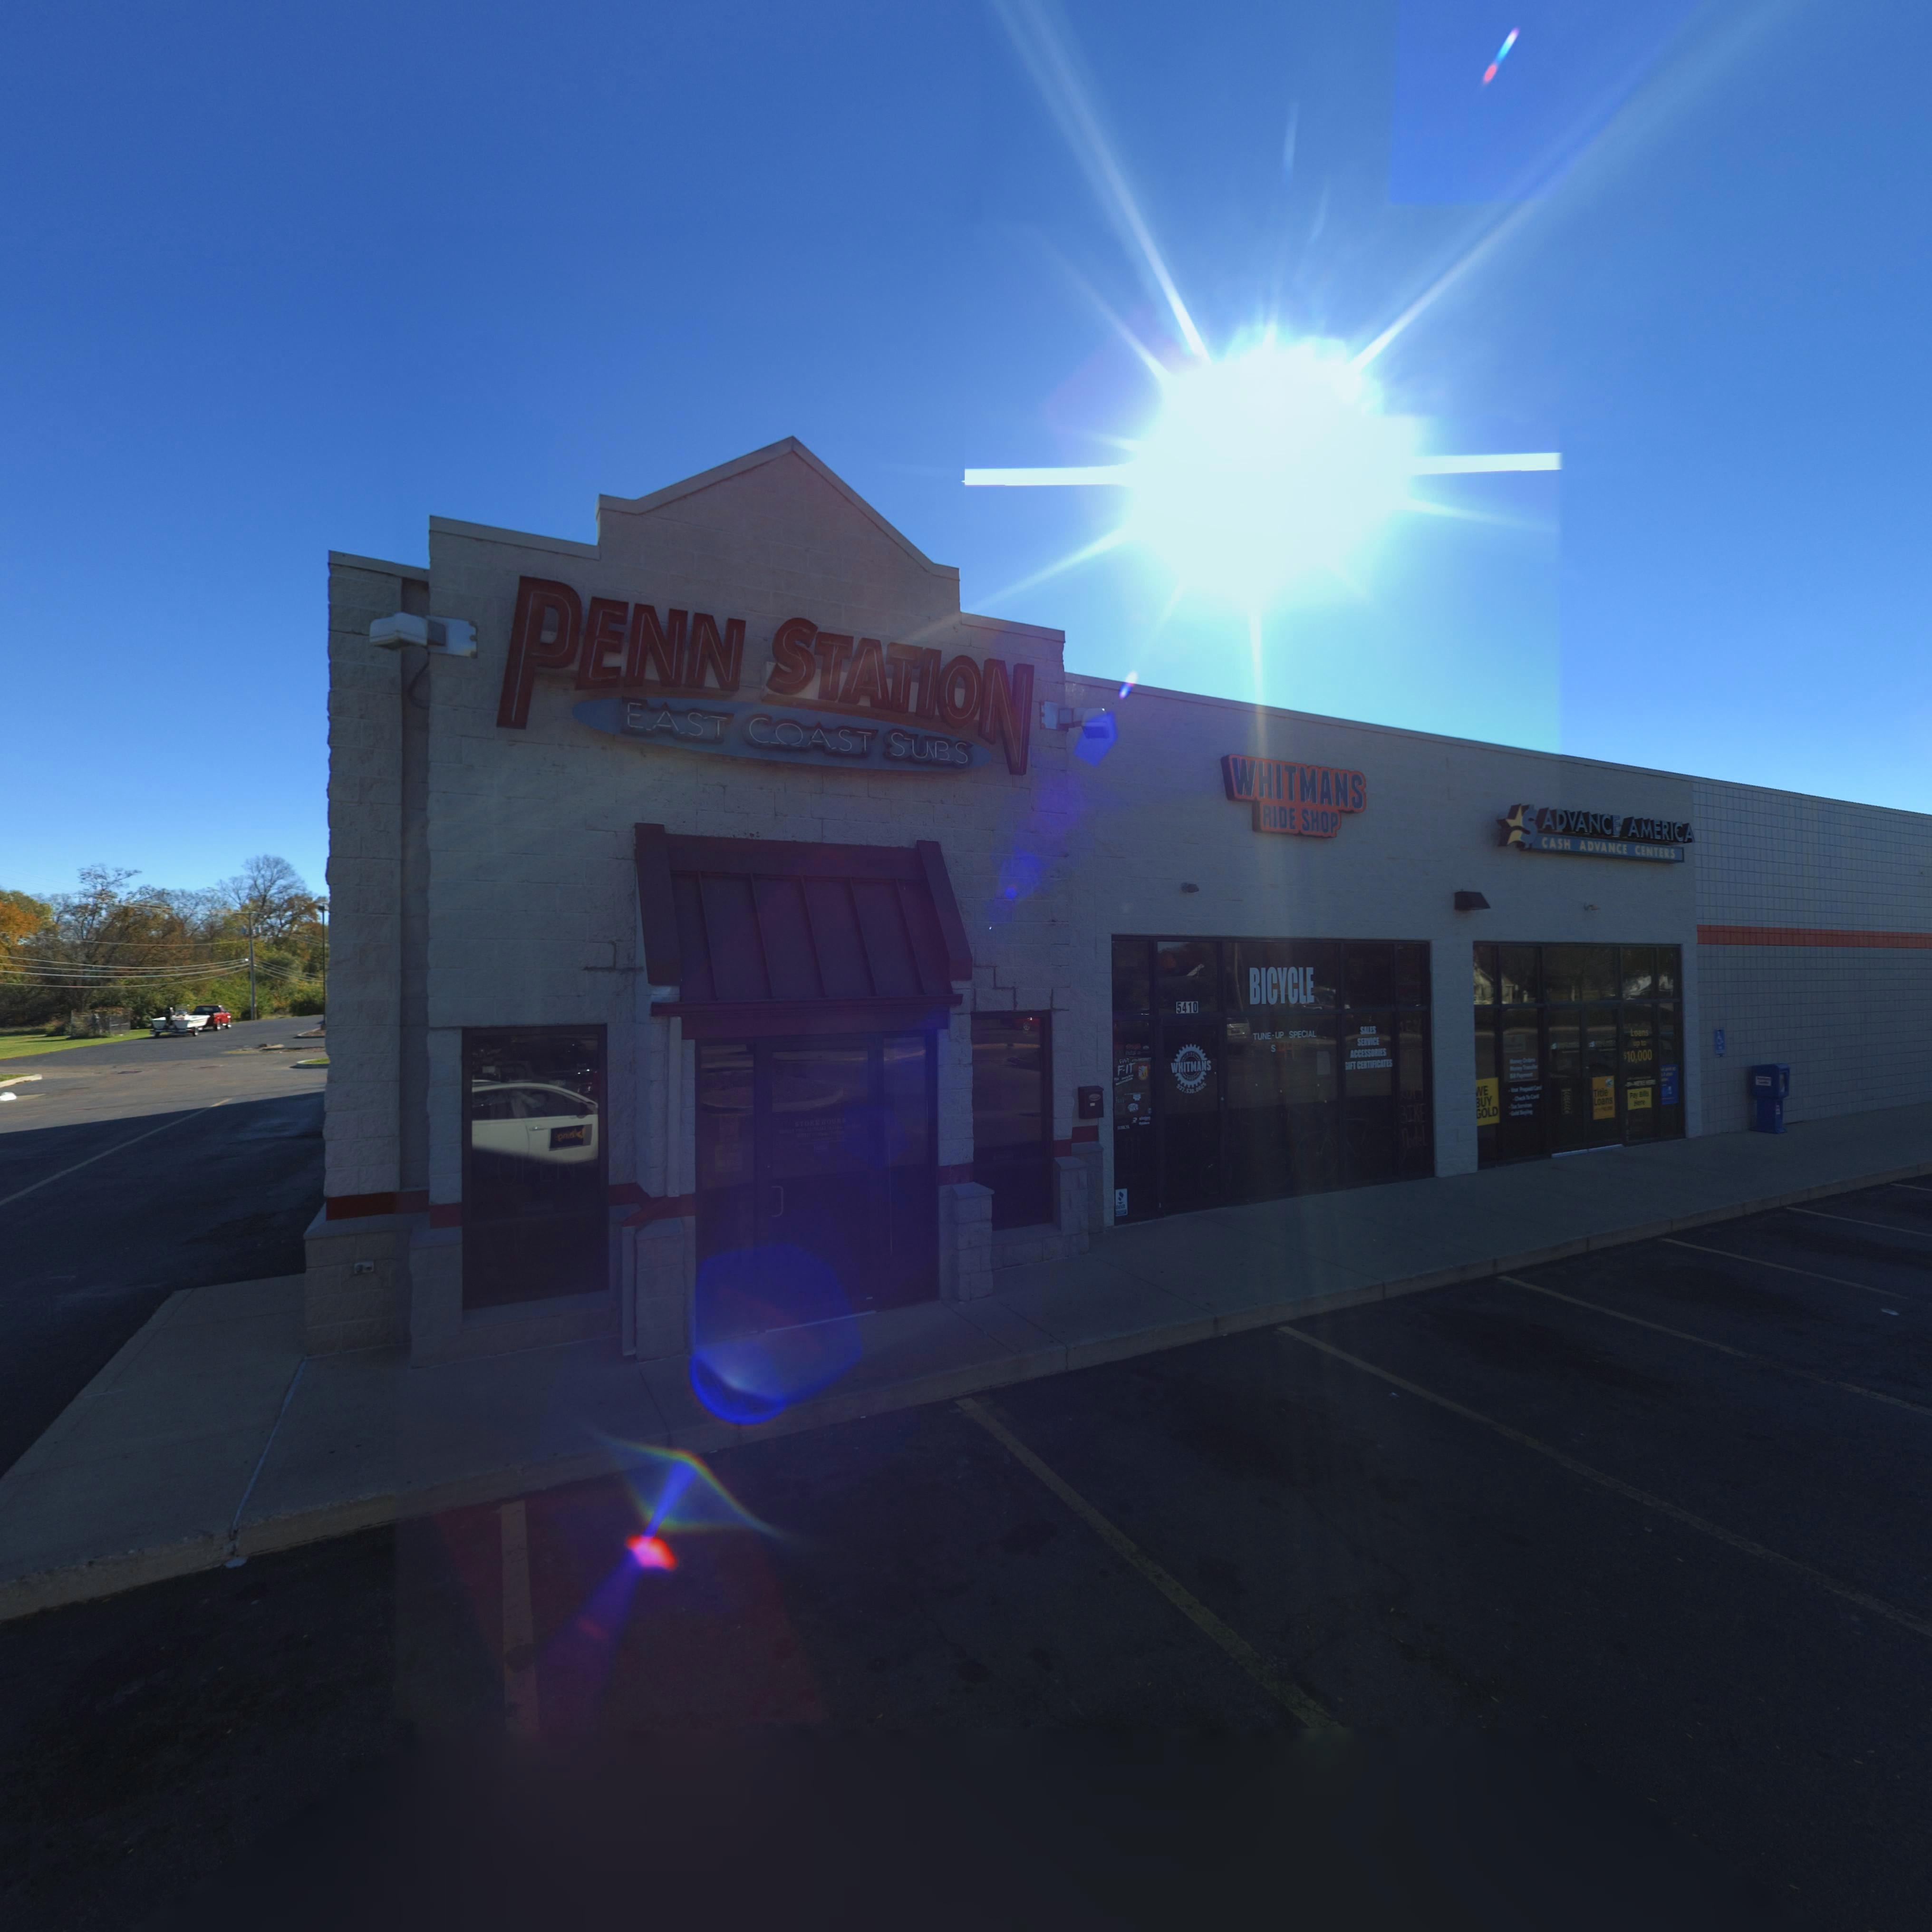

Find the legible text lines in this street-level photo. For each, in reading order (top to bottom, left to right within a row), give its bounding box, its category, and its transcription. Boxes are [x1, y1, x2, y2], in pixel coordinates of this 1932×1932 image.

[1176, 1001, 1198, 1014] StreetNumber: 5410